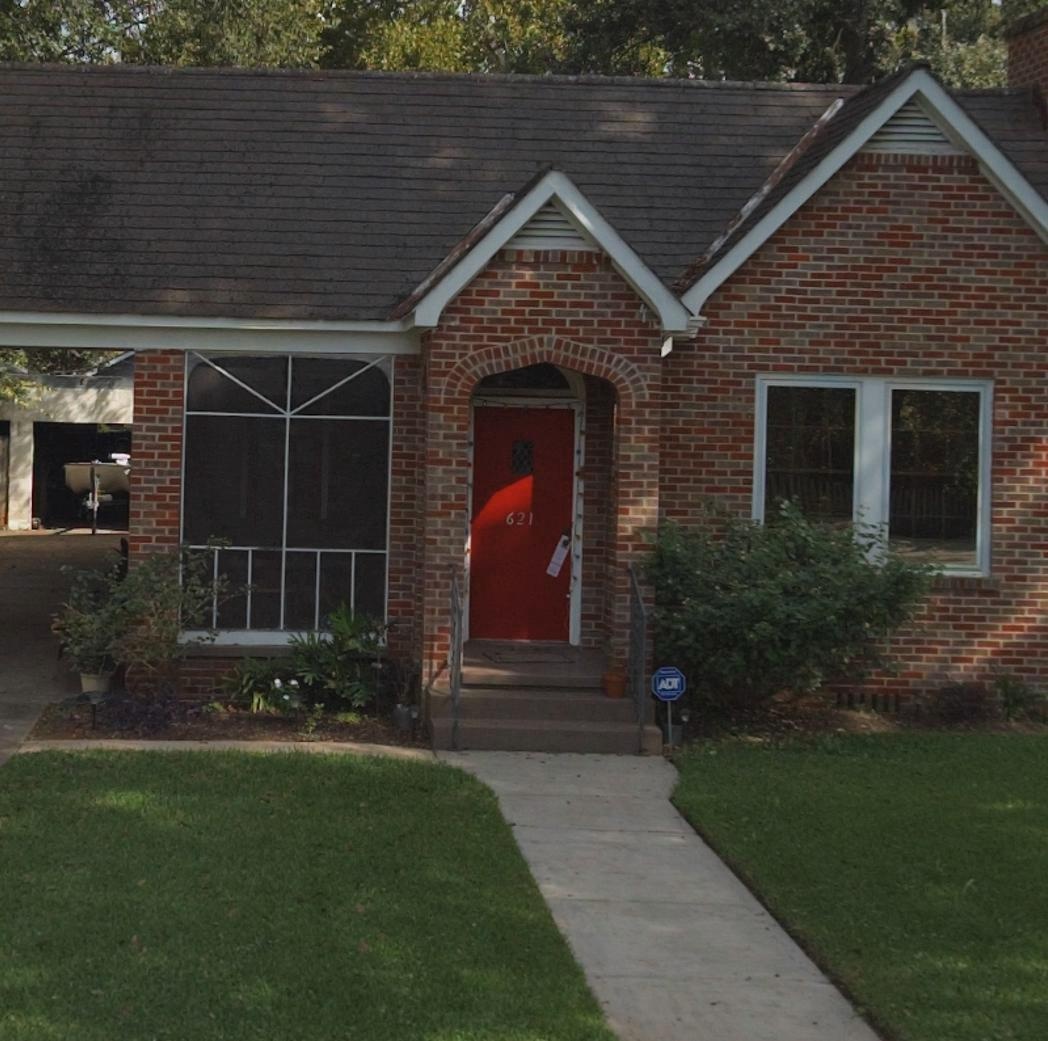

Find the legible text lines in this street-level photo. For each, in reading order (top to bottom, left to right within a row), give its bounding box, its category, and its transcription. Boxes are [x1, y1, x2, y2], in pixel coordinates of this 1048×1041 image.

[504, 510, 535, 527] StreetNumber: 621
[655, 675, 682, 691] None: ADT